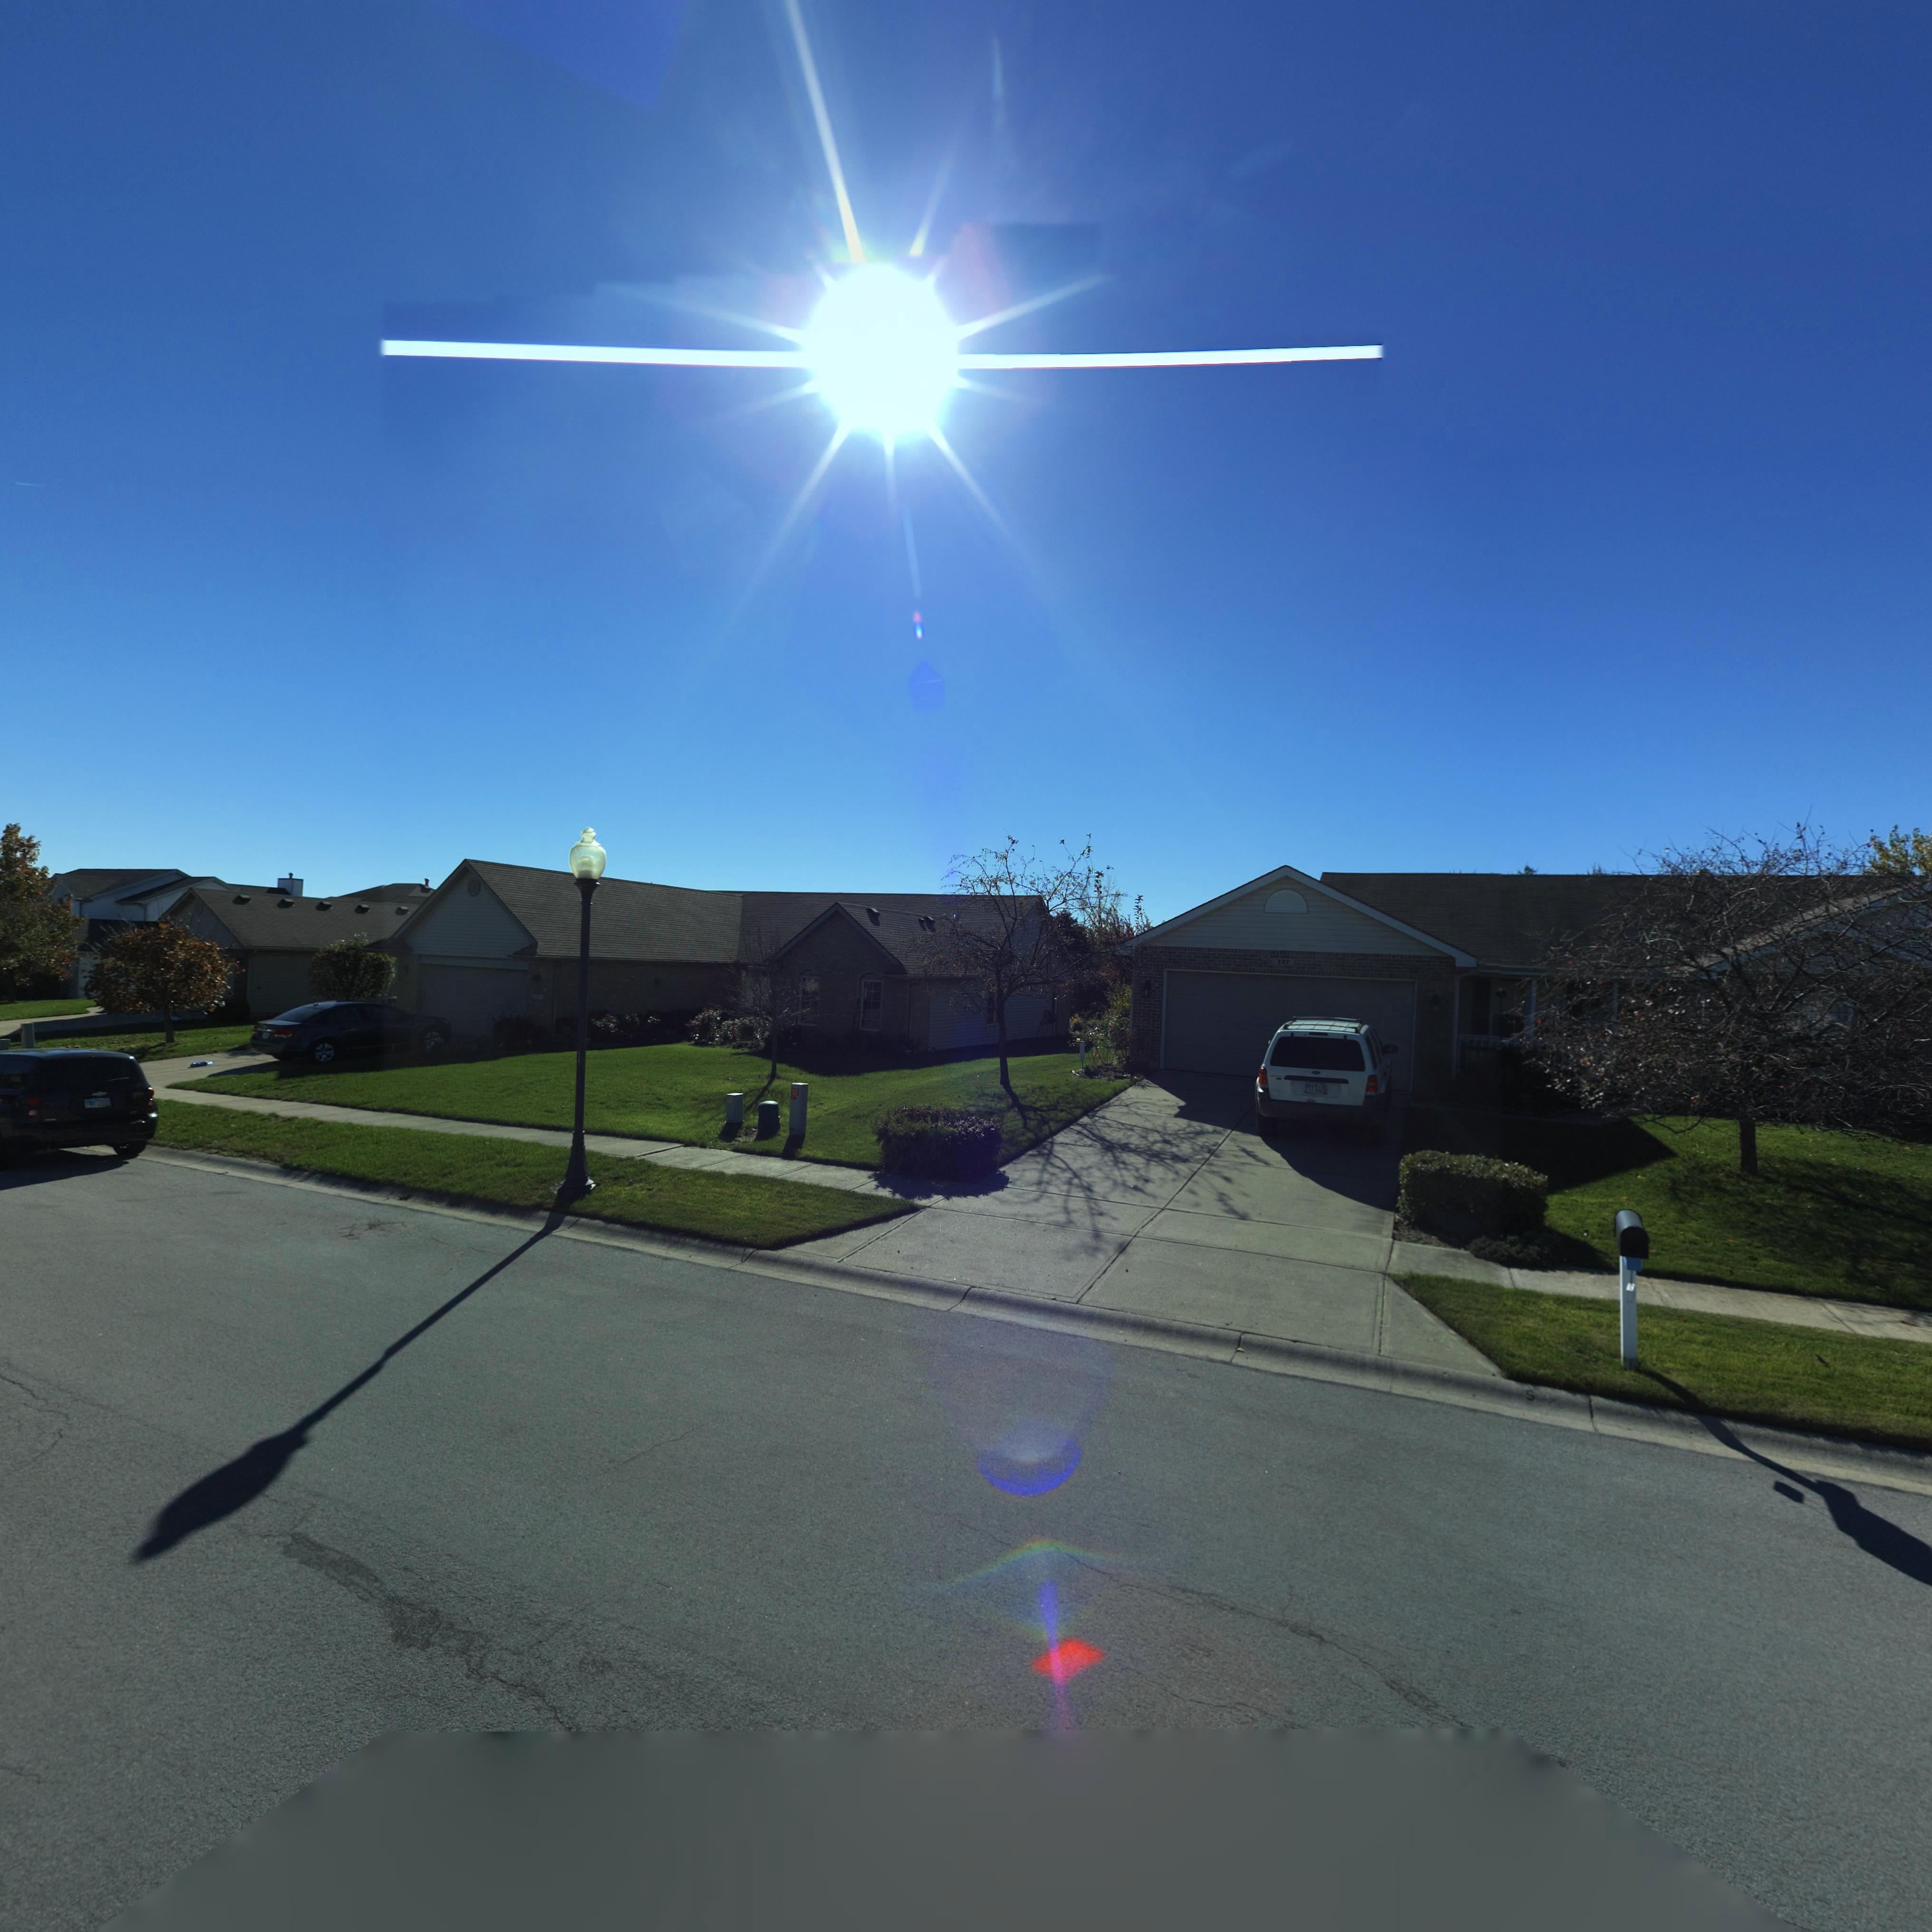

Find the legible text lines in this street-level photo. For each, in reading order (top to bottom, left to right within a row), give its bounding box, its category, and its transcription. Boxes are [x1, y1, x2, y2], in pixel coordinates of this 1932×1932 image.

[1277, 959, 1290, 965] StreetNumber: 137